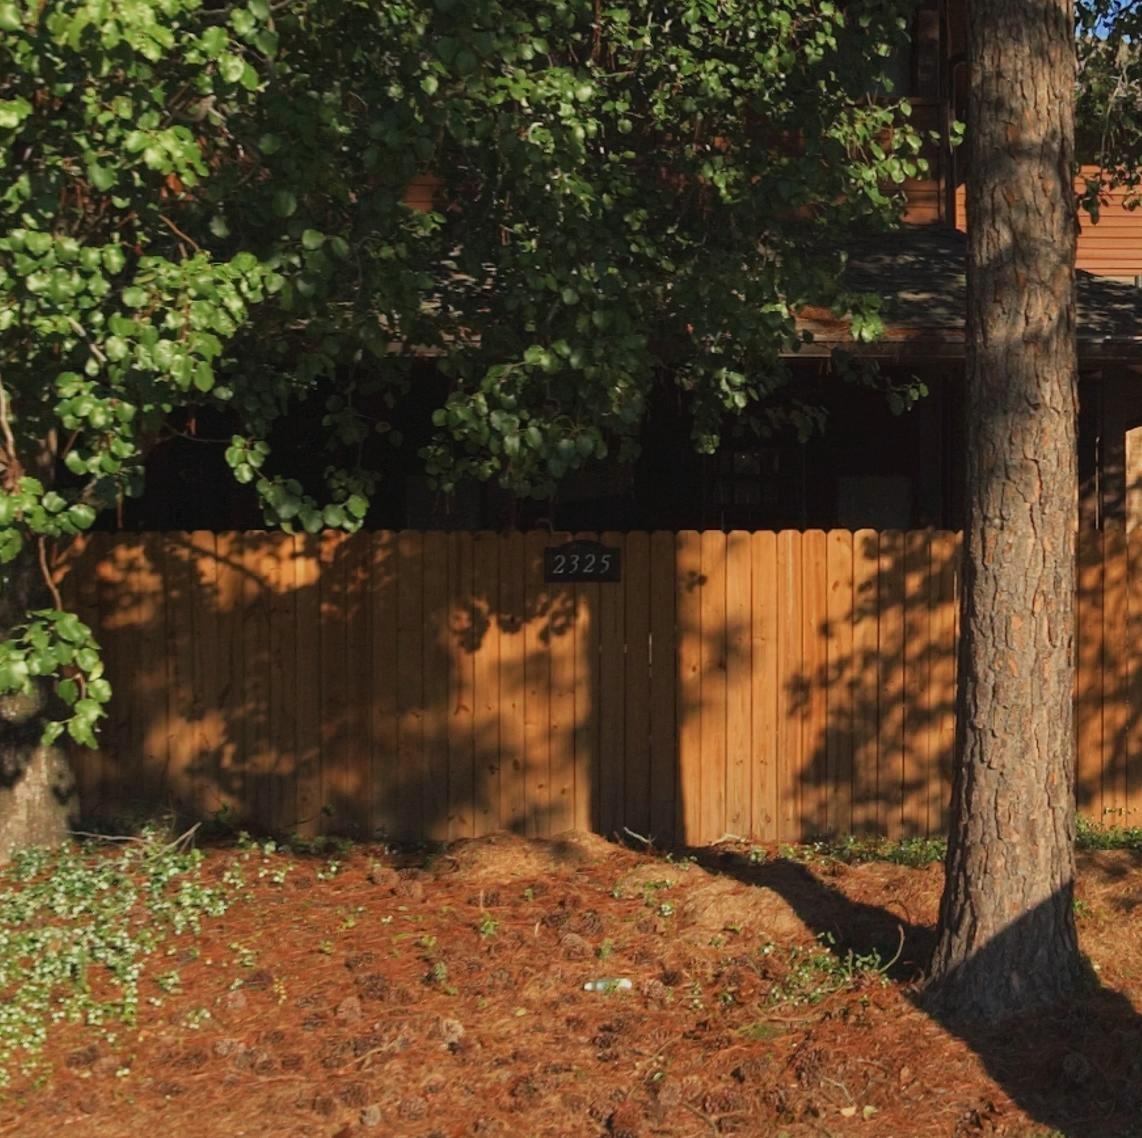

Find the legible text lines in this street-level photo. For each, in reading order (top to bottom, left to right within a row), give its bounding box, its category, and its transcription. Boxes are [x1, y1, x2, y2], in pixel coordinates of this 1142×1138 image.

[551, 551, 612, 576] StreetNumber: 2325